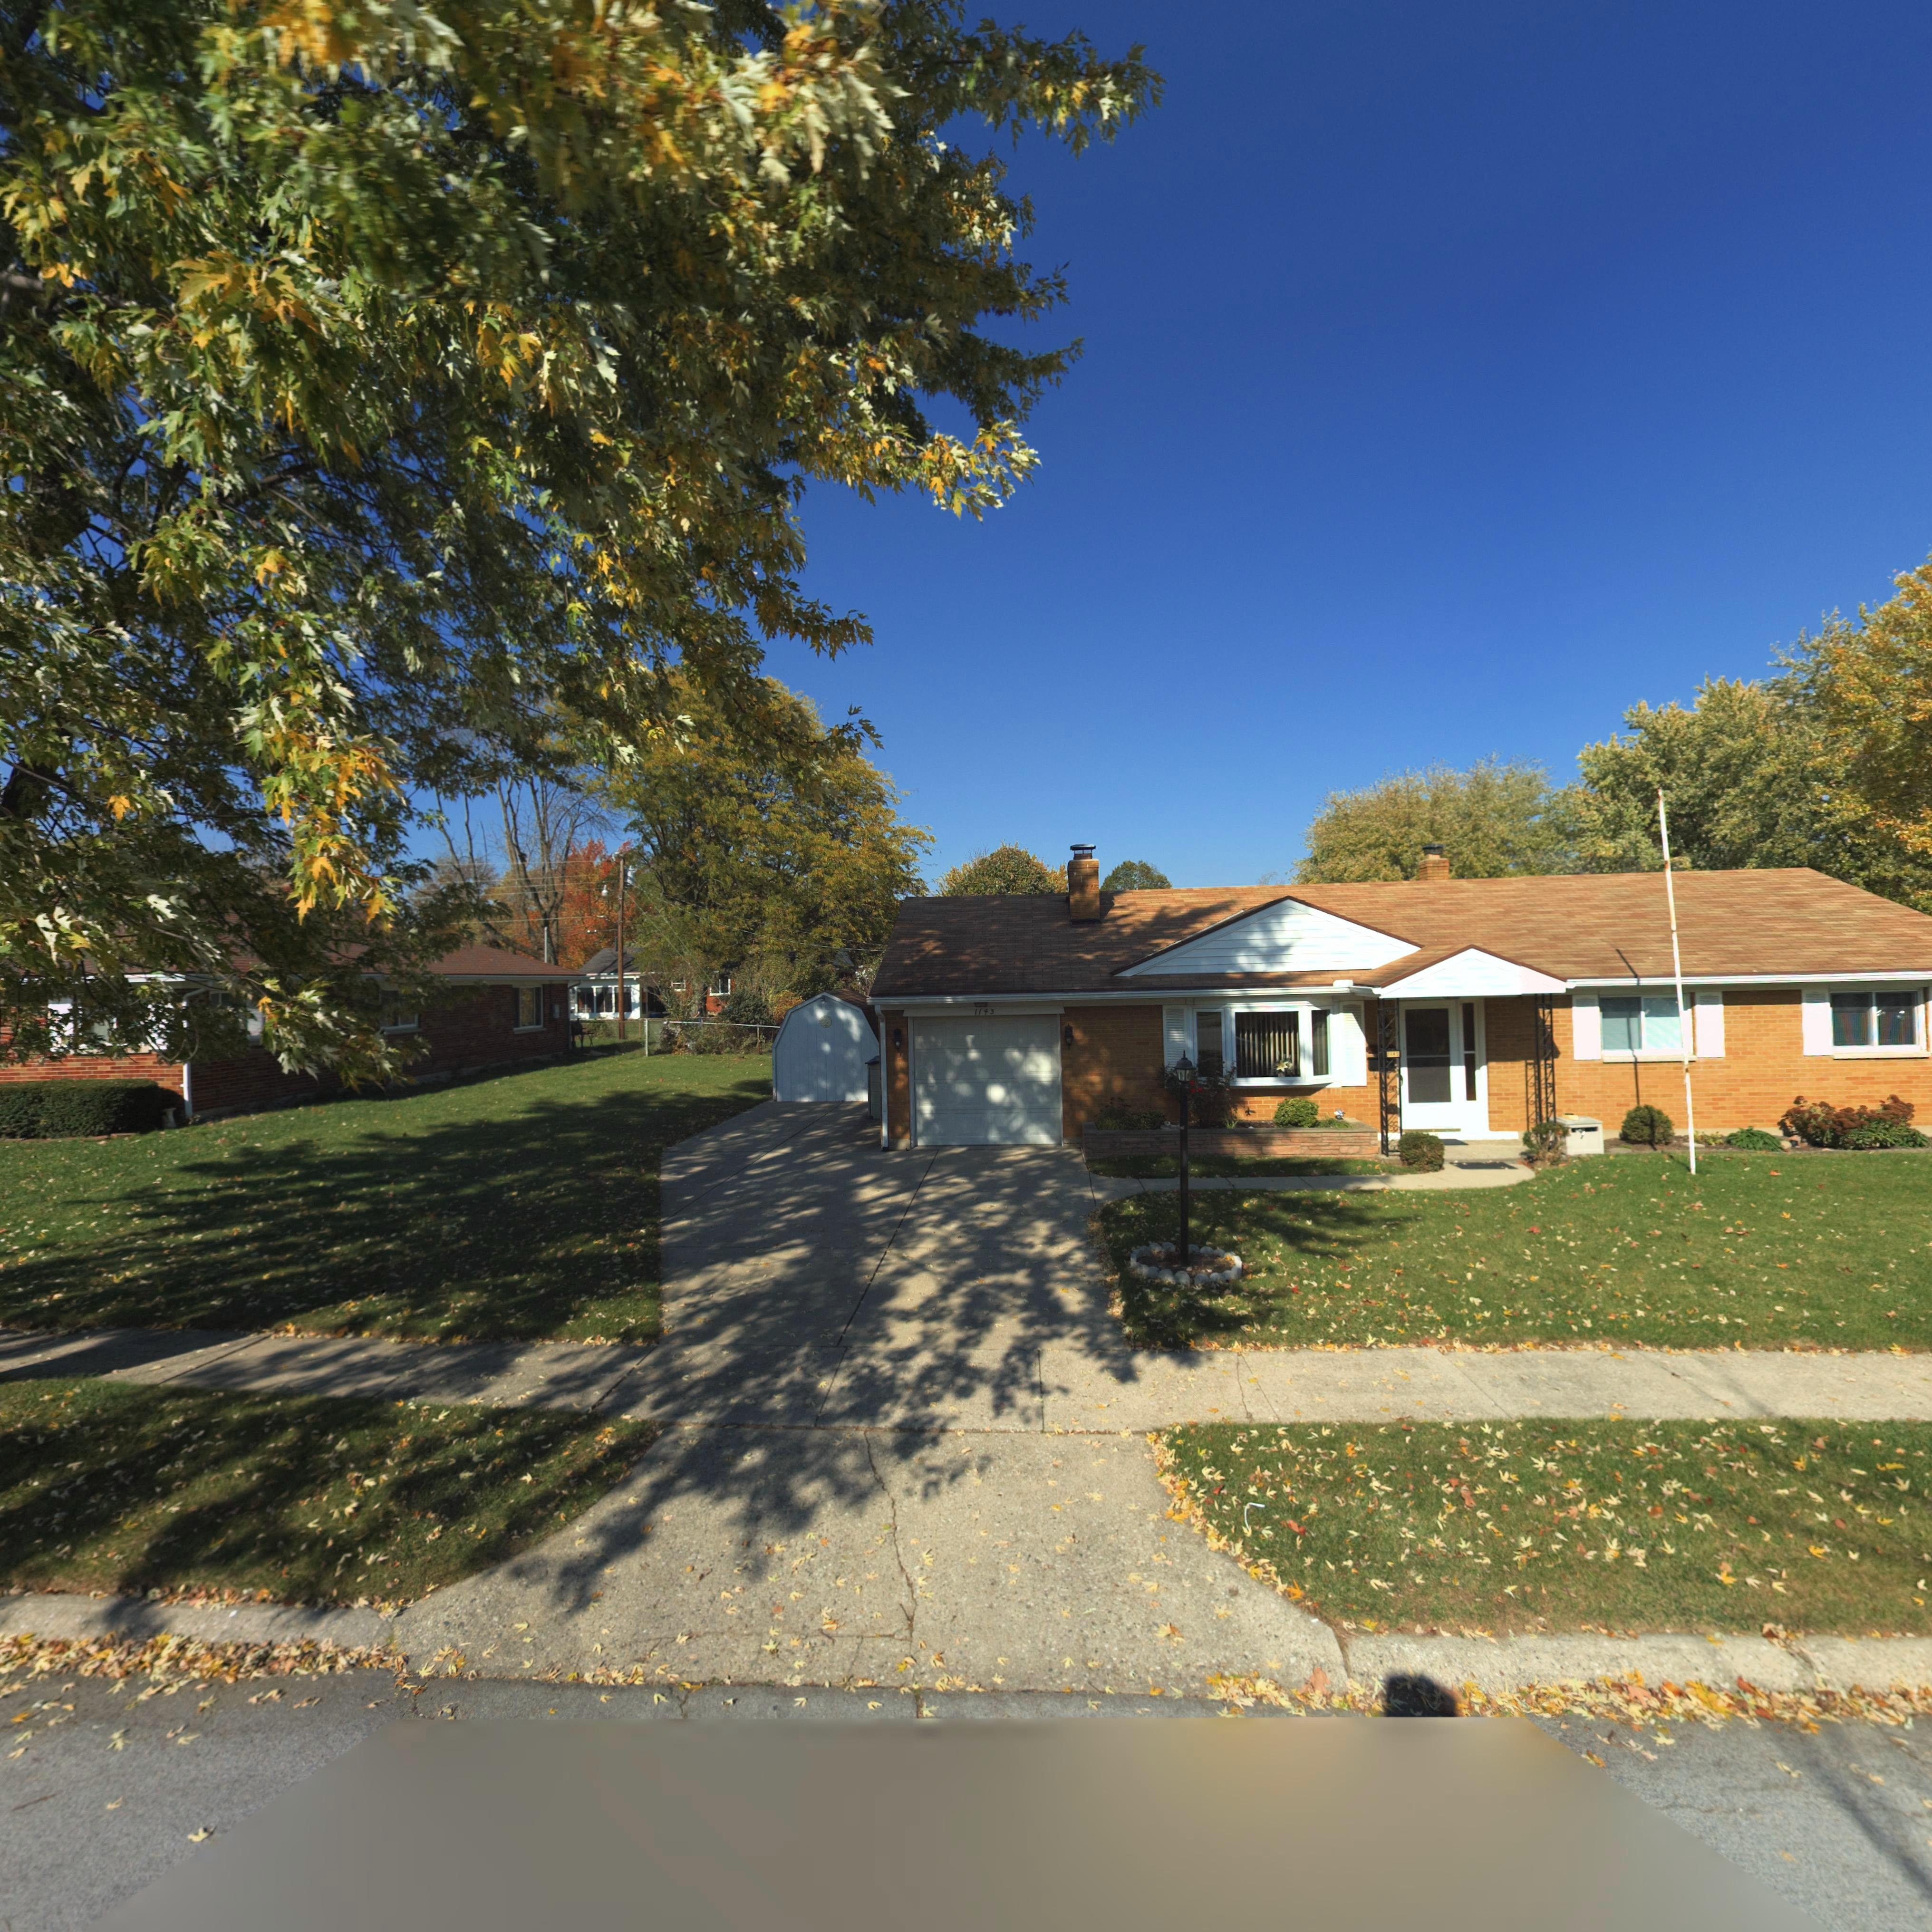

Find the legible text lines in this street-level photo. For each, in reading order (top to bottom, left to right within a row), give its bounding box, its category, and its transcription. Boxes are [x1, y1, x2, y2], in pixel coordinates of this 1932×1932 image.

[974, 1007, 995, 1015] StreetNumber: 1143
[1387, 1052, 1399, 1057] StreetNumber: 1143